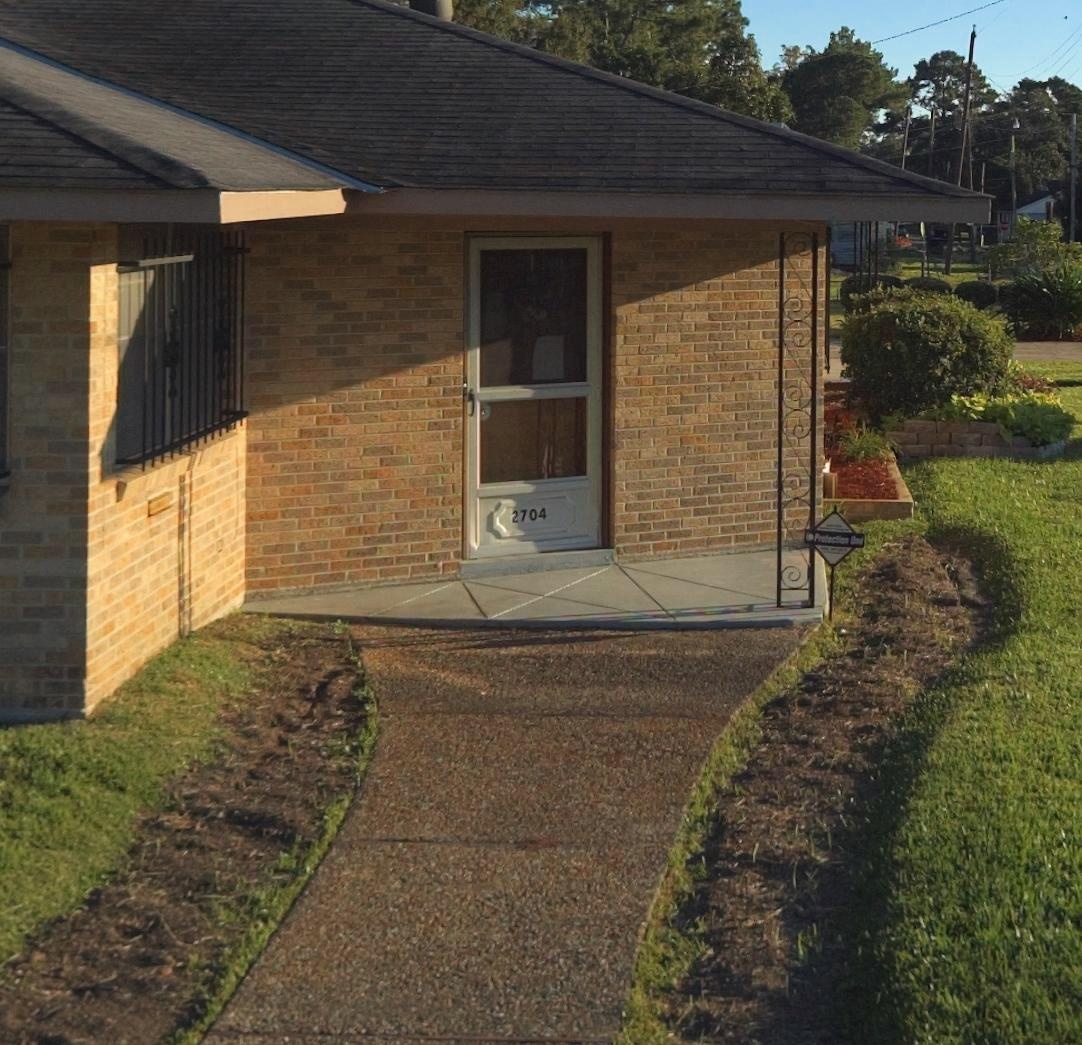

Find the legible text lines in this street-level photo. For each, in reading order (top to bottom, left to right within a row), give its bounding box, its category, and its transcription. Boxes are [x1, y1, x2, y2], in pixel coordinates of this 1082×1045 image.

[510, 505, 549, 526] StreetNumber: 2704